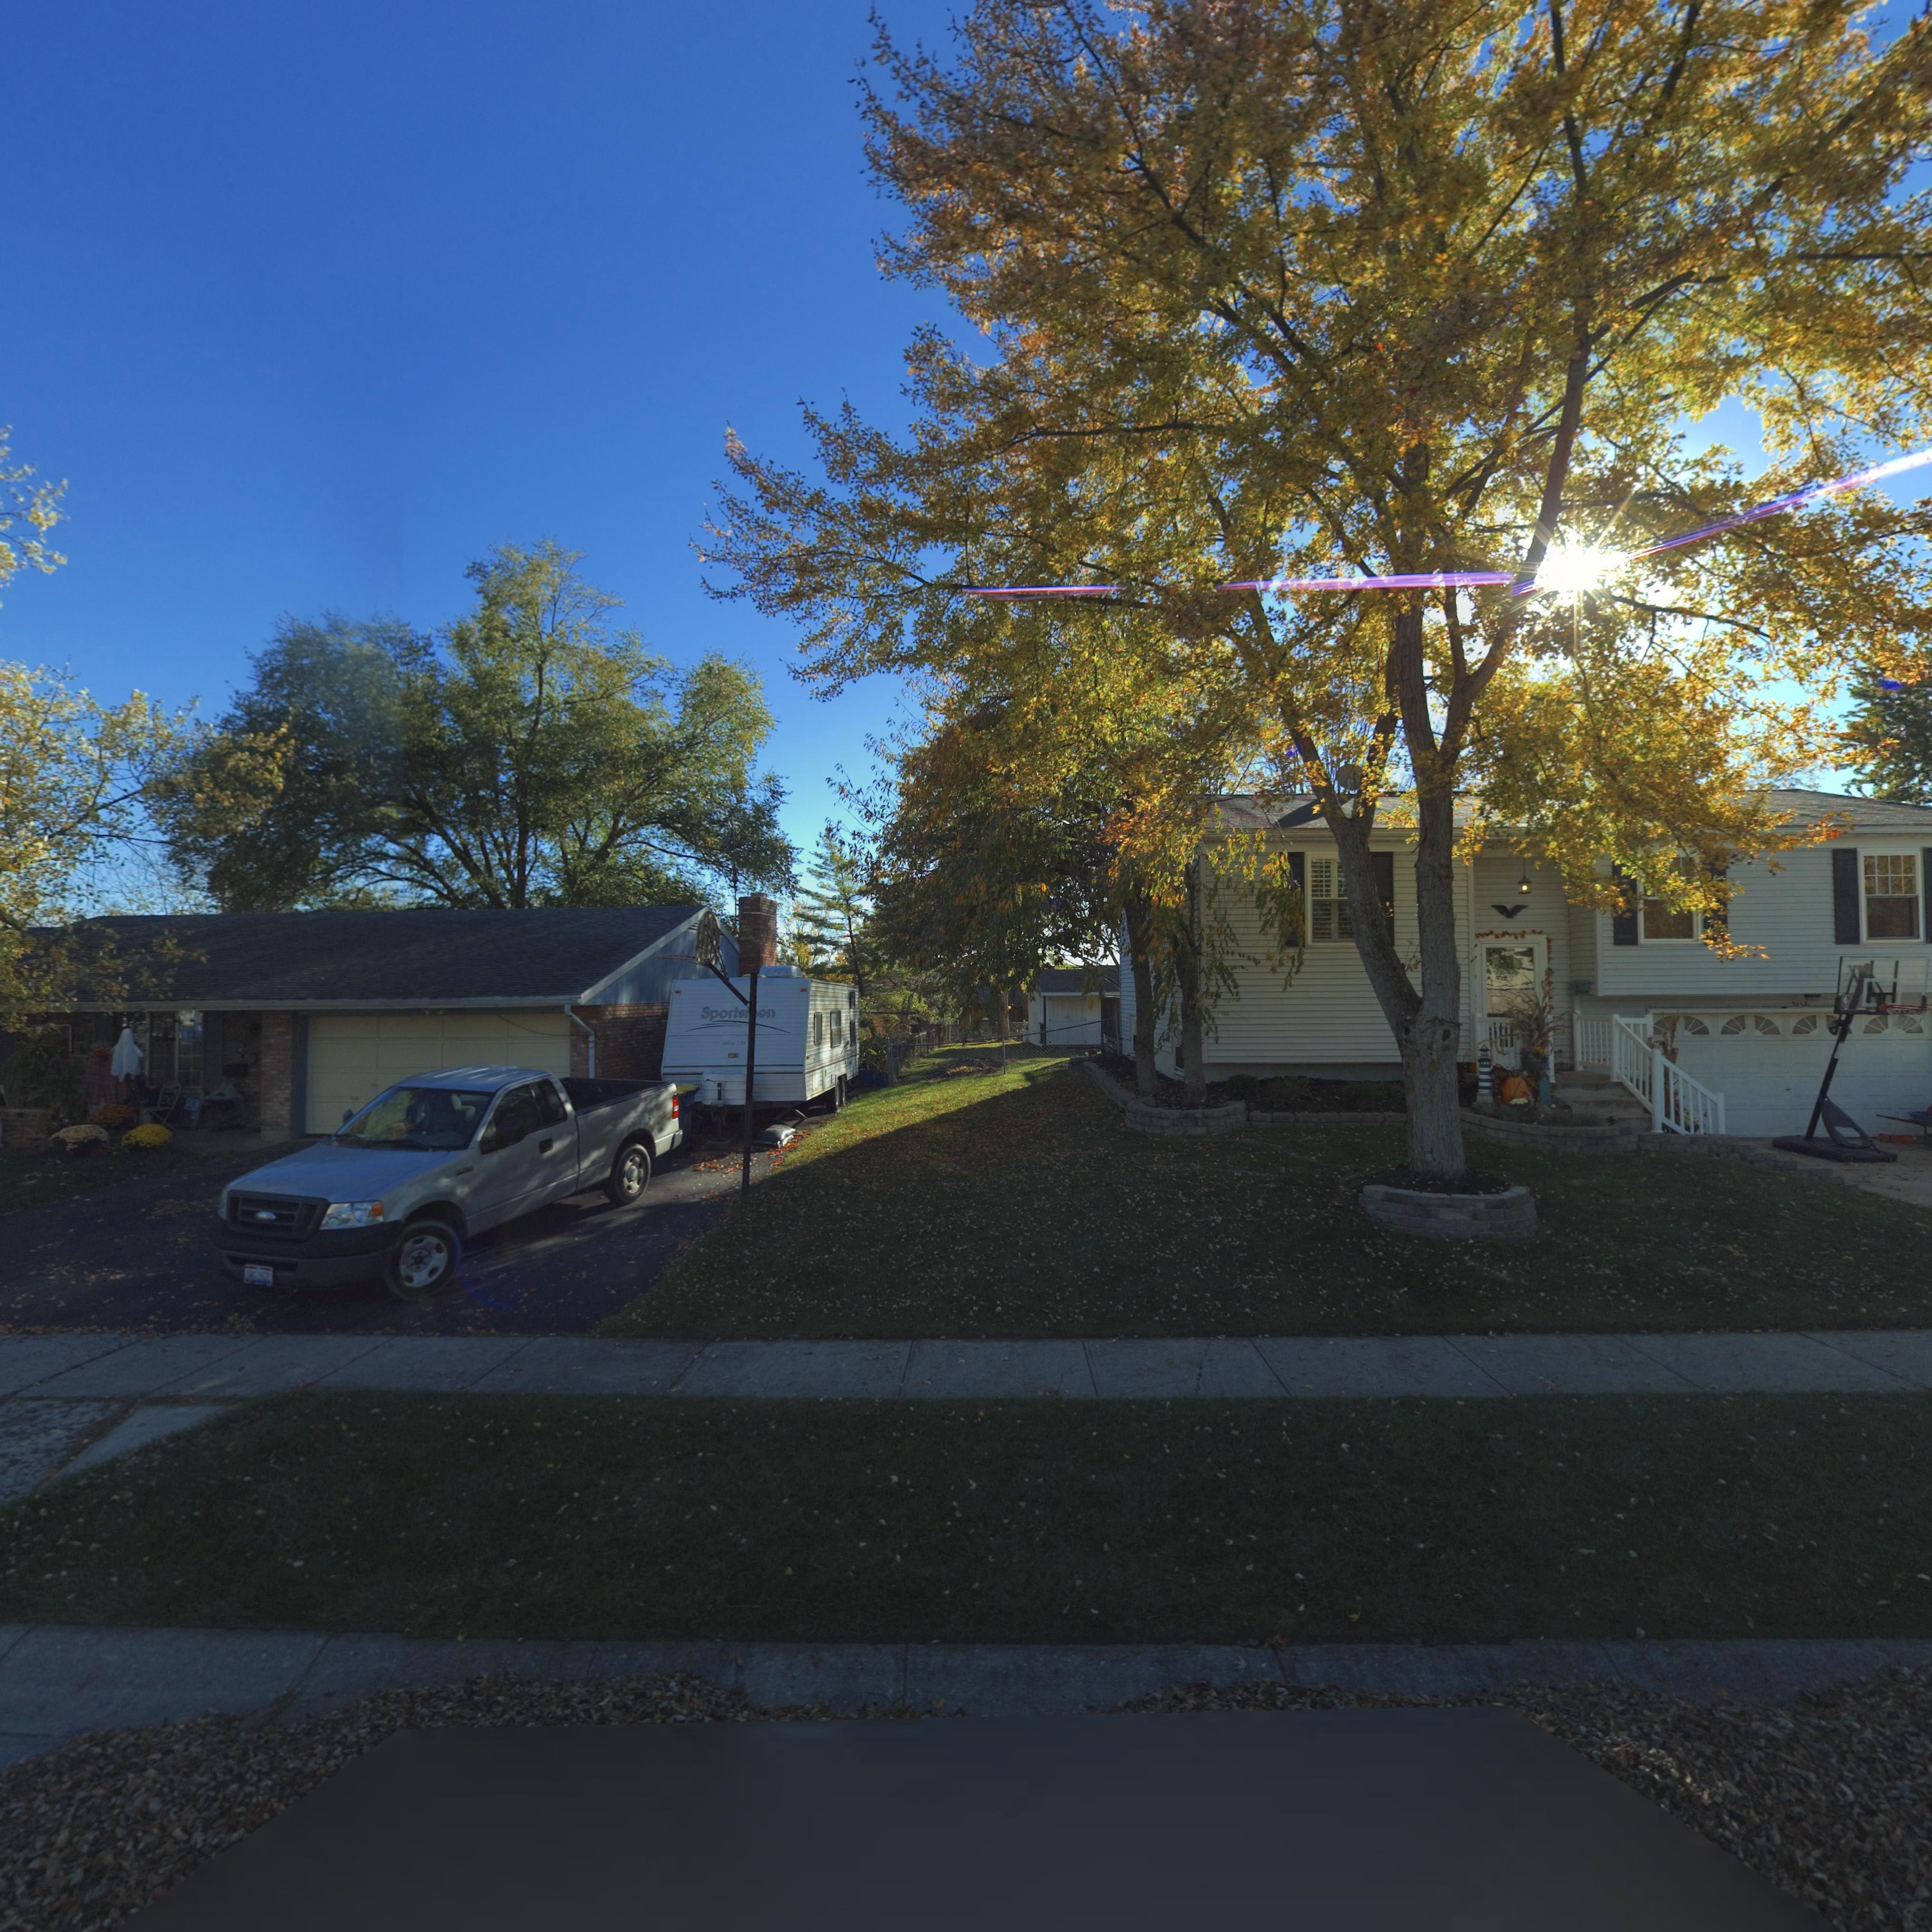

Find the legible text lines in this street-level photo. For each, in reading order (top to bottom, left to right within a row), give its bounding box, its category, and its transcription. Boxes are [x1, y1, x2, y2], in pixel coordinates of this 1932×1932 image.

[1791, 1000, 1808, 1007] StreetNumber: 5112